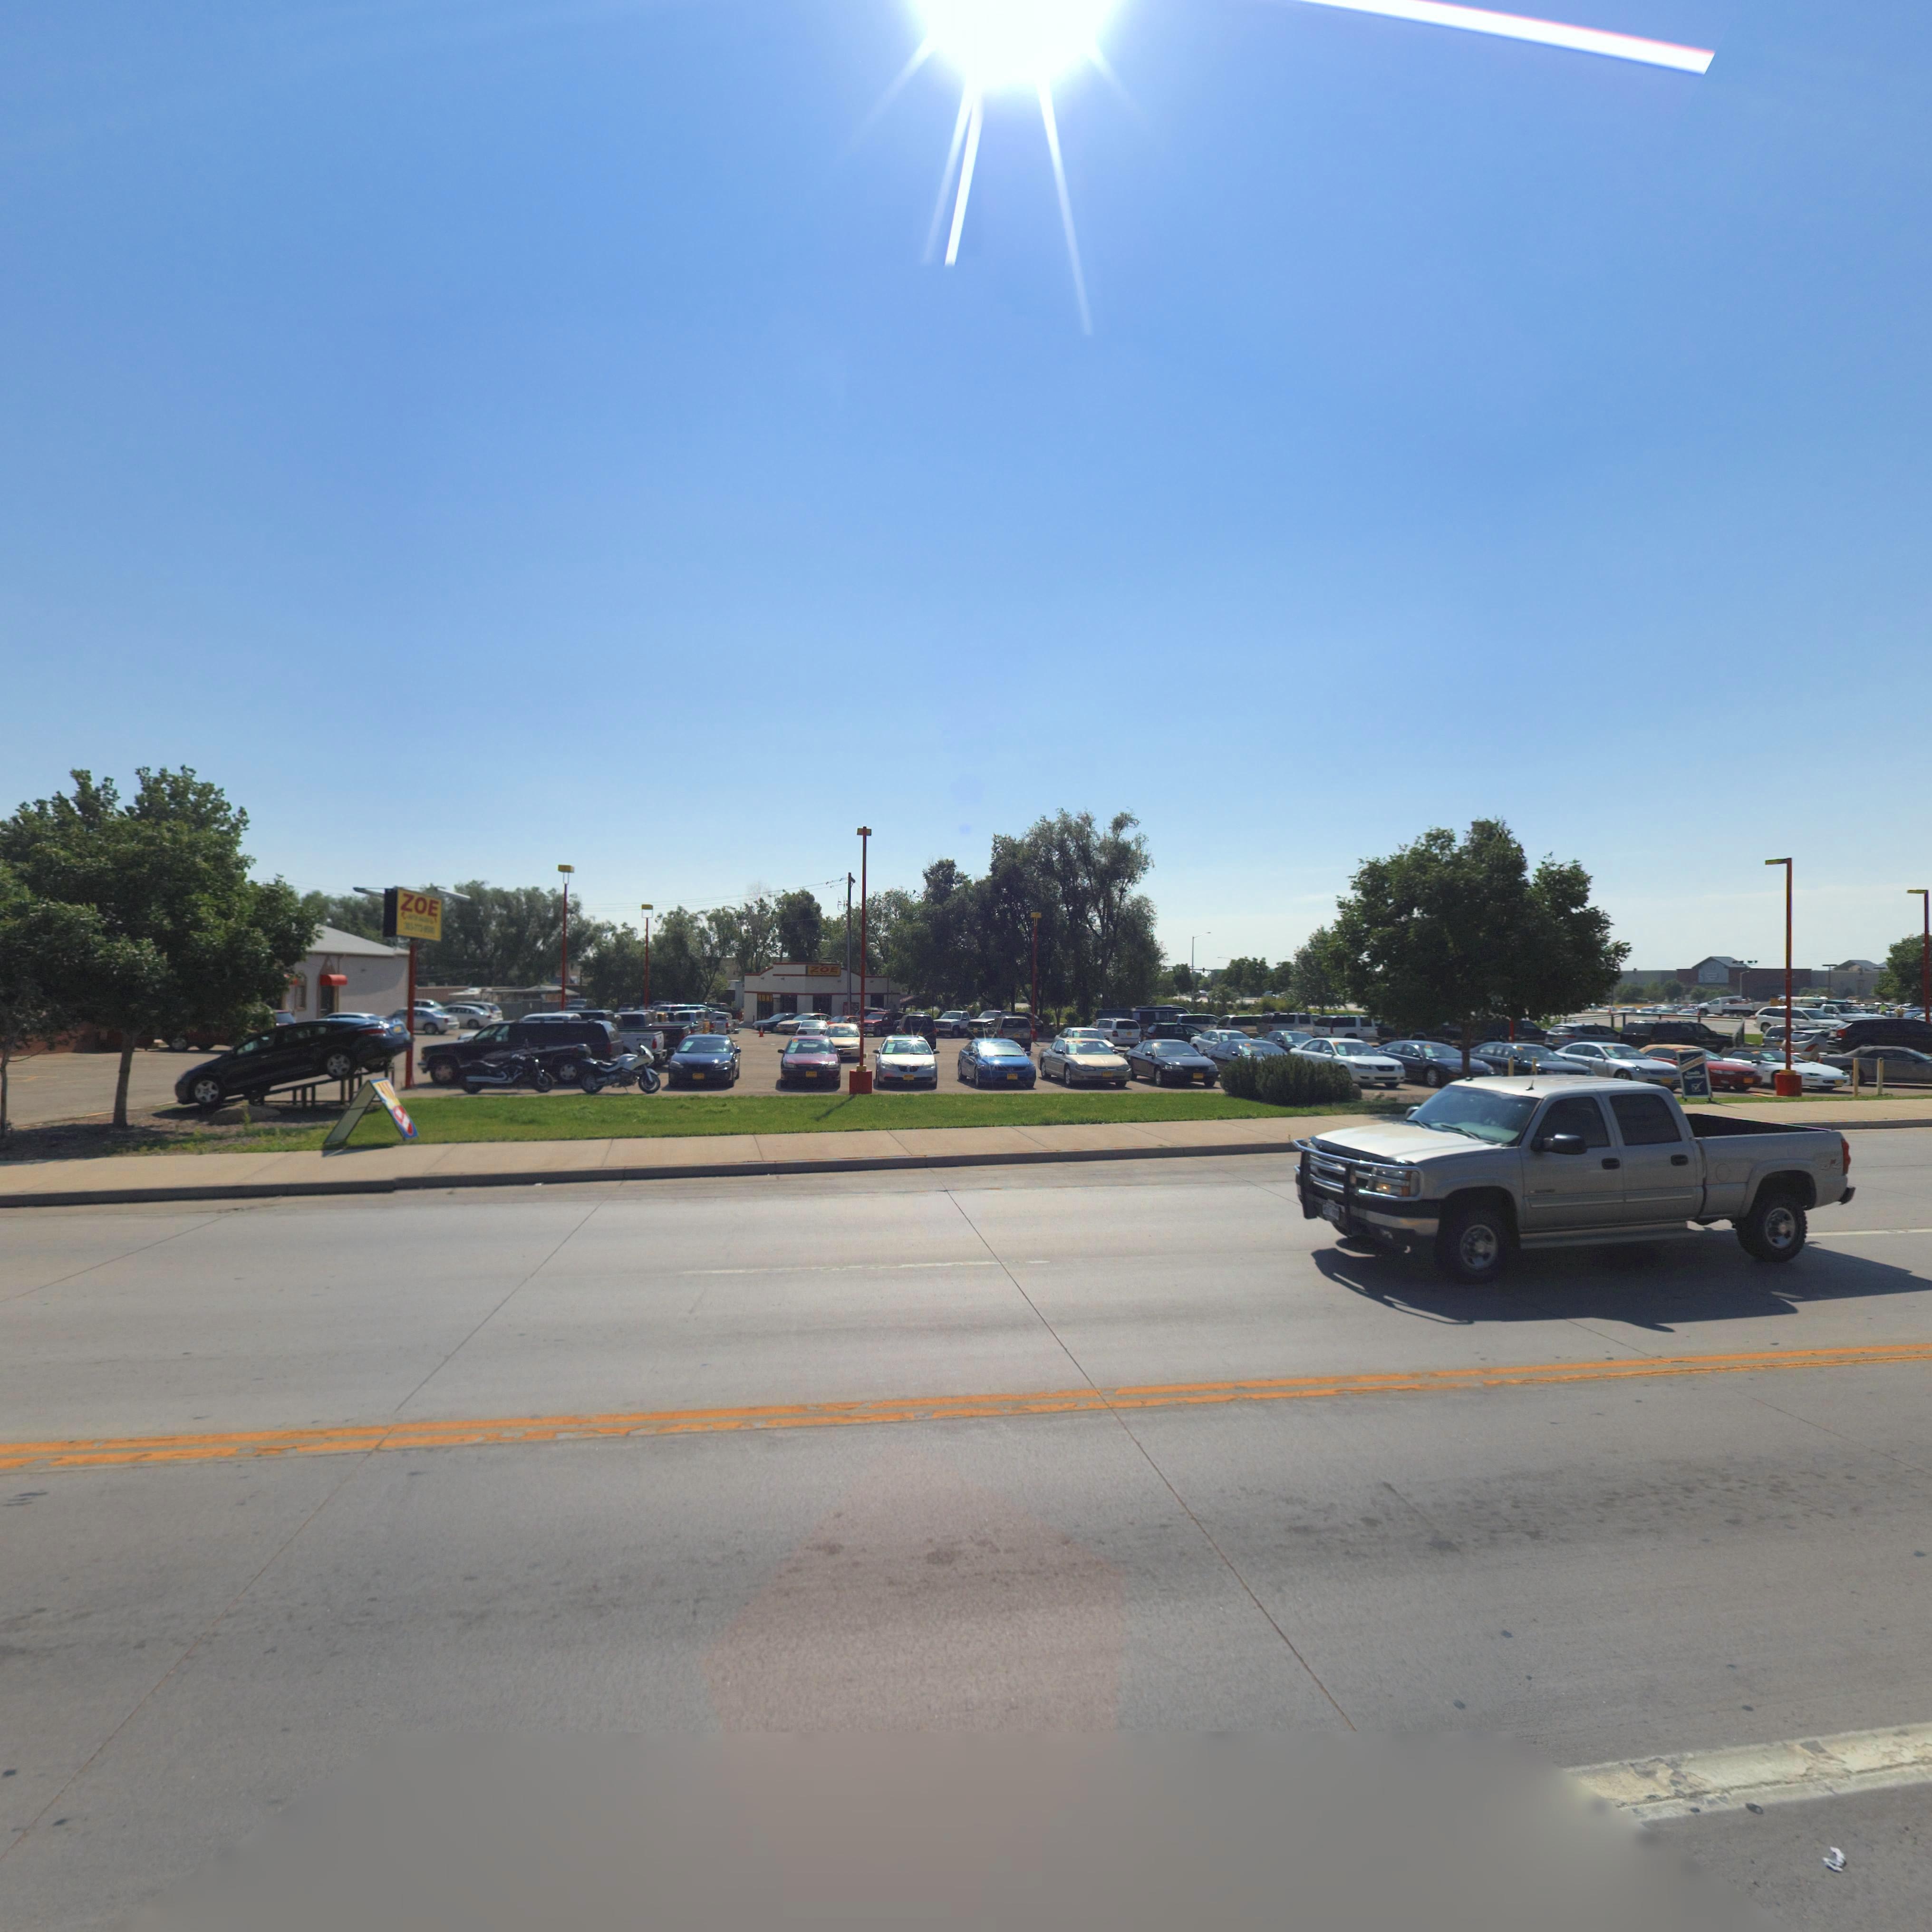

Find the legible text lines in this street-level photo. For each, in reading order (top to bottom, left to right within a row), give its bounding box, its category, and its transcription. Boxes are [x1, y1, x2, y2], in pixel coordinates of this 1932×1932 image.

[400, 892, 439, 918] BusinessName: ZOE
[407, 914, 430, 923] BusinessName: AUTO SALES
[810, 966, 838, 972] BusinessName: ZOE